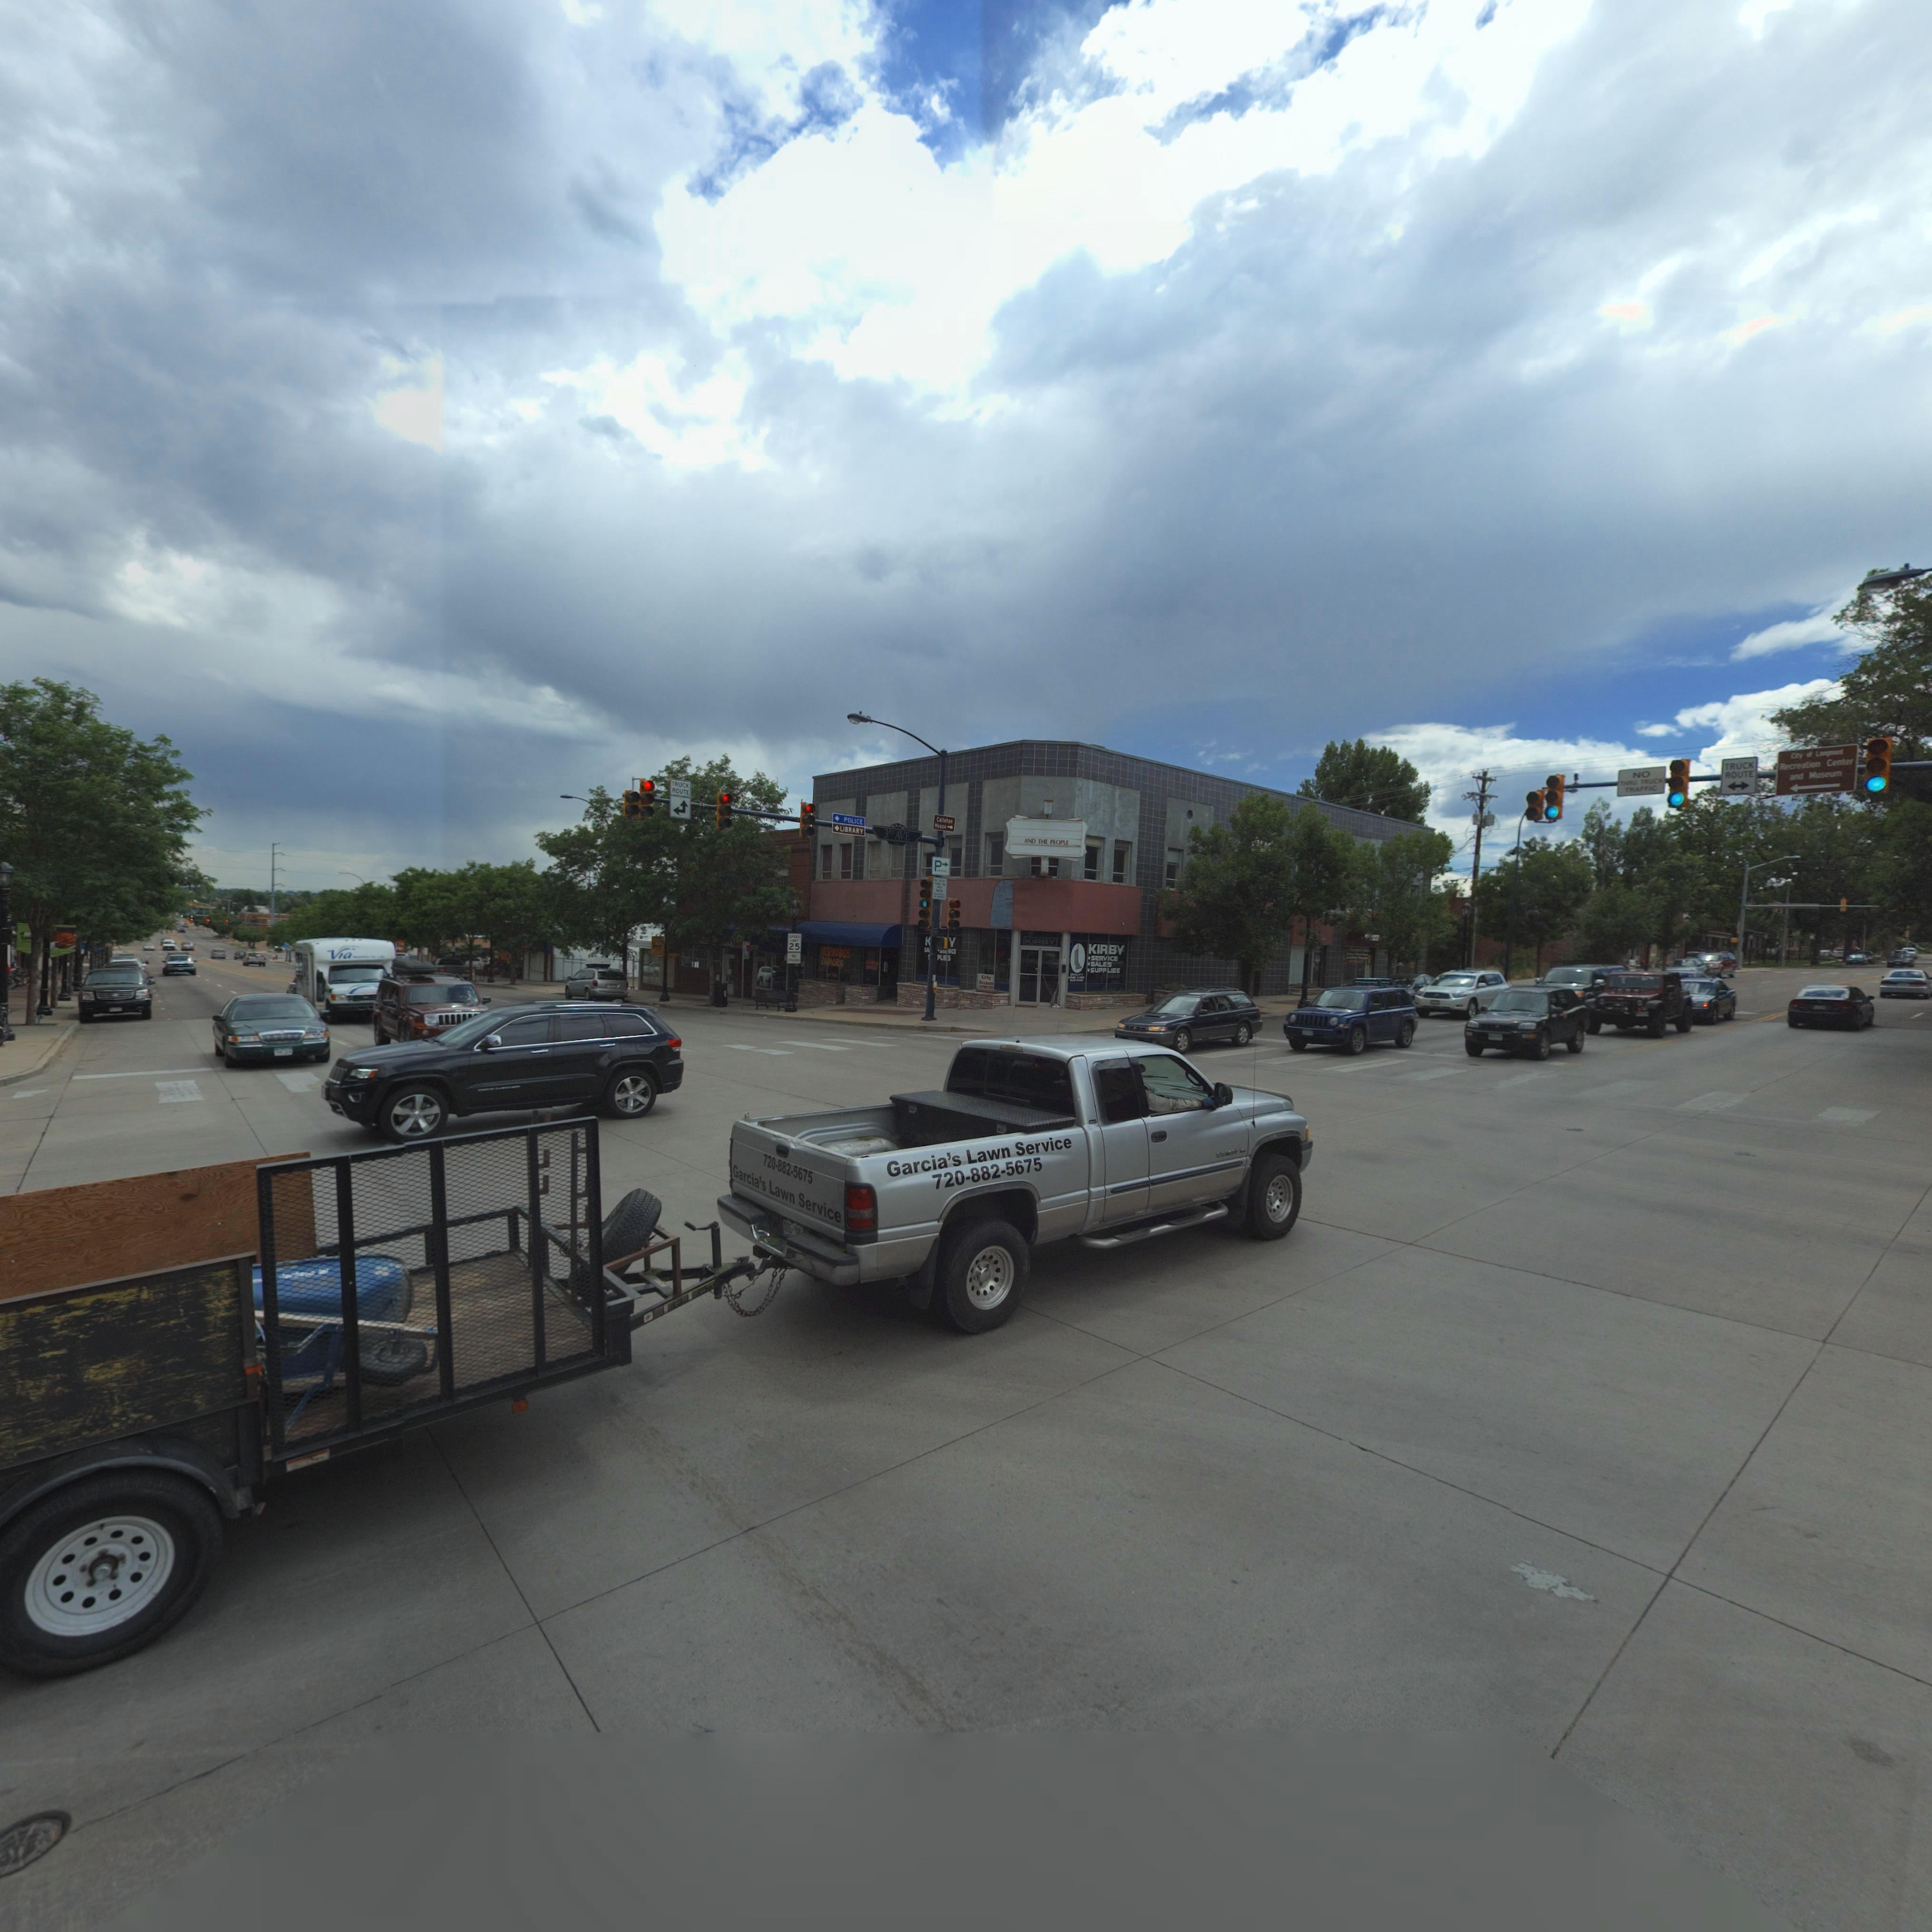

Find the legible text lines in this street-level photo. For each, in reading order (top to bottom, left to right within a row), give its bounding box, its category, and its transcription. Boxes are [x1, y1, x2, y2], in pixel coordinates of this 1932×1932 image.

[883, 828, 910, 841] StreetName: 3RD AVE
[924, 936, 956, 947] BusinessName: K***Y
[1025, 937, 1055, 945] BusinessName: KIRBY
[1088, 943, 1125, 955] BusinessName: KIRBY
[978, 979, 993, 985] BusinessName: Vac***
[981, 975, 991, 981] BusinessName: Kirby